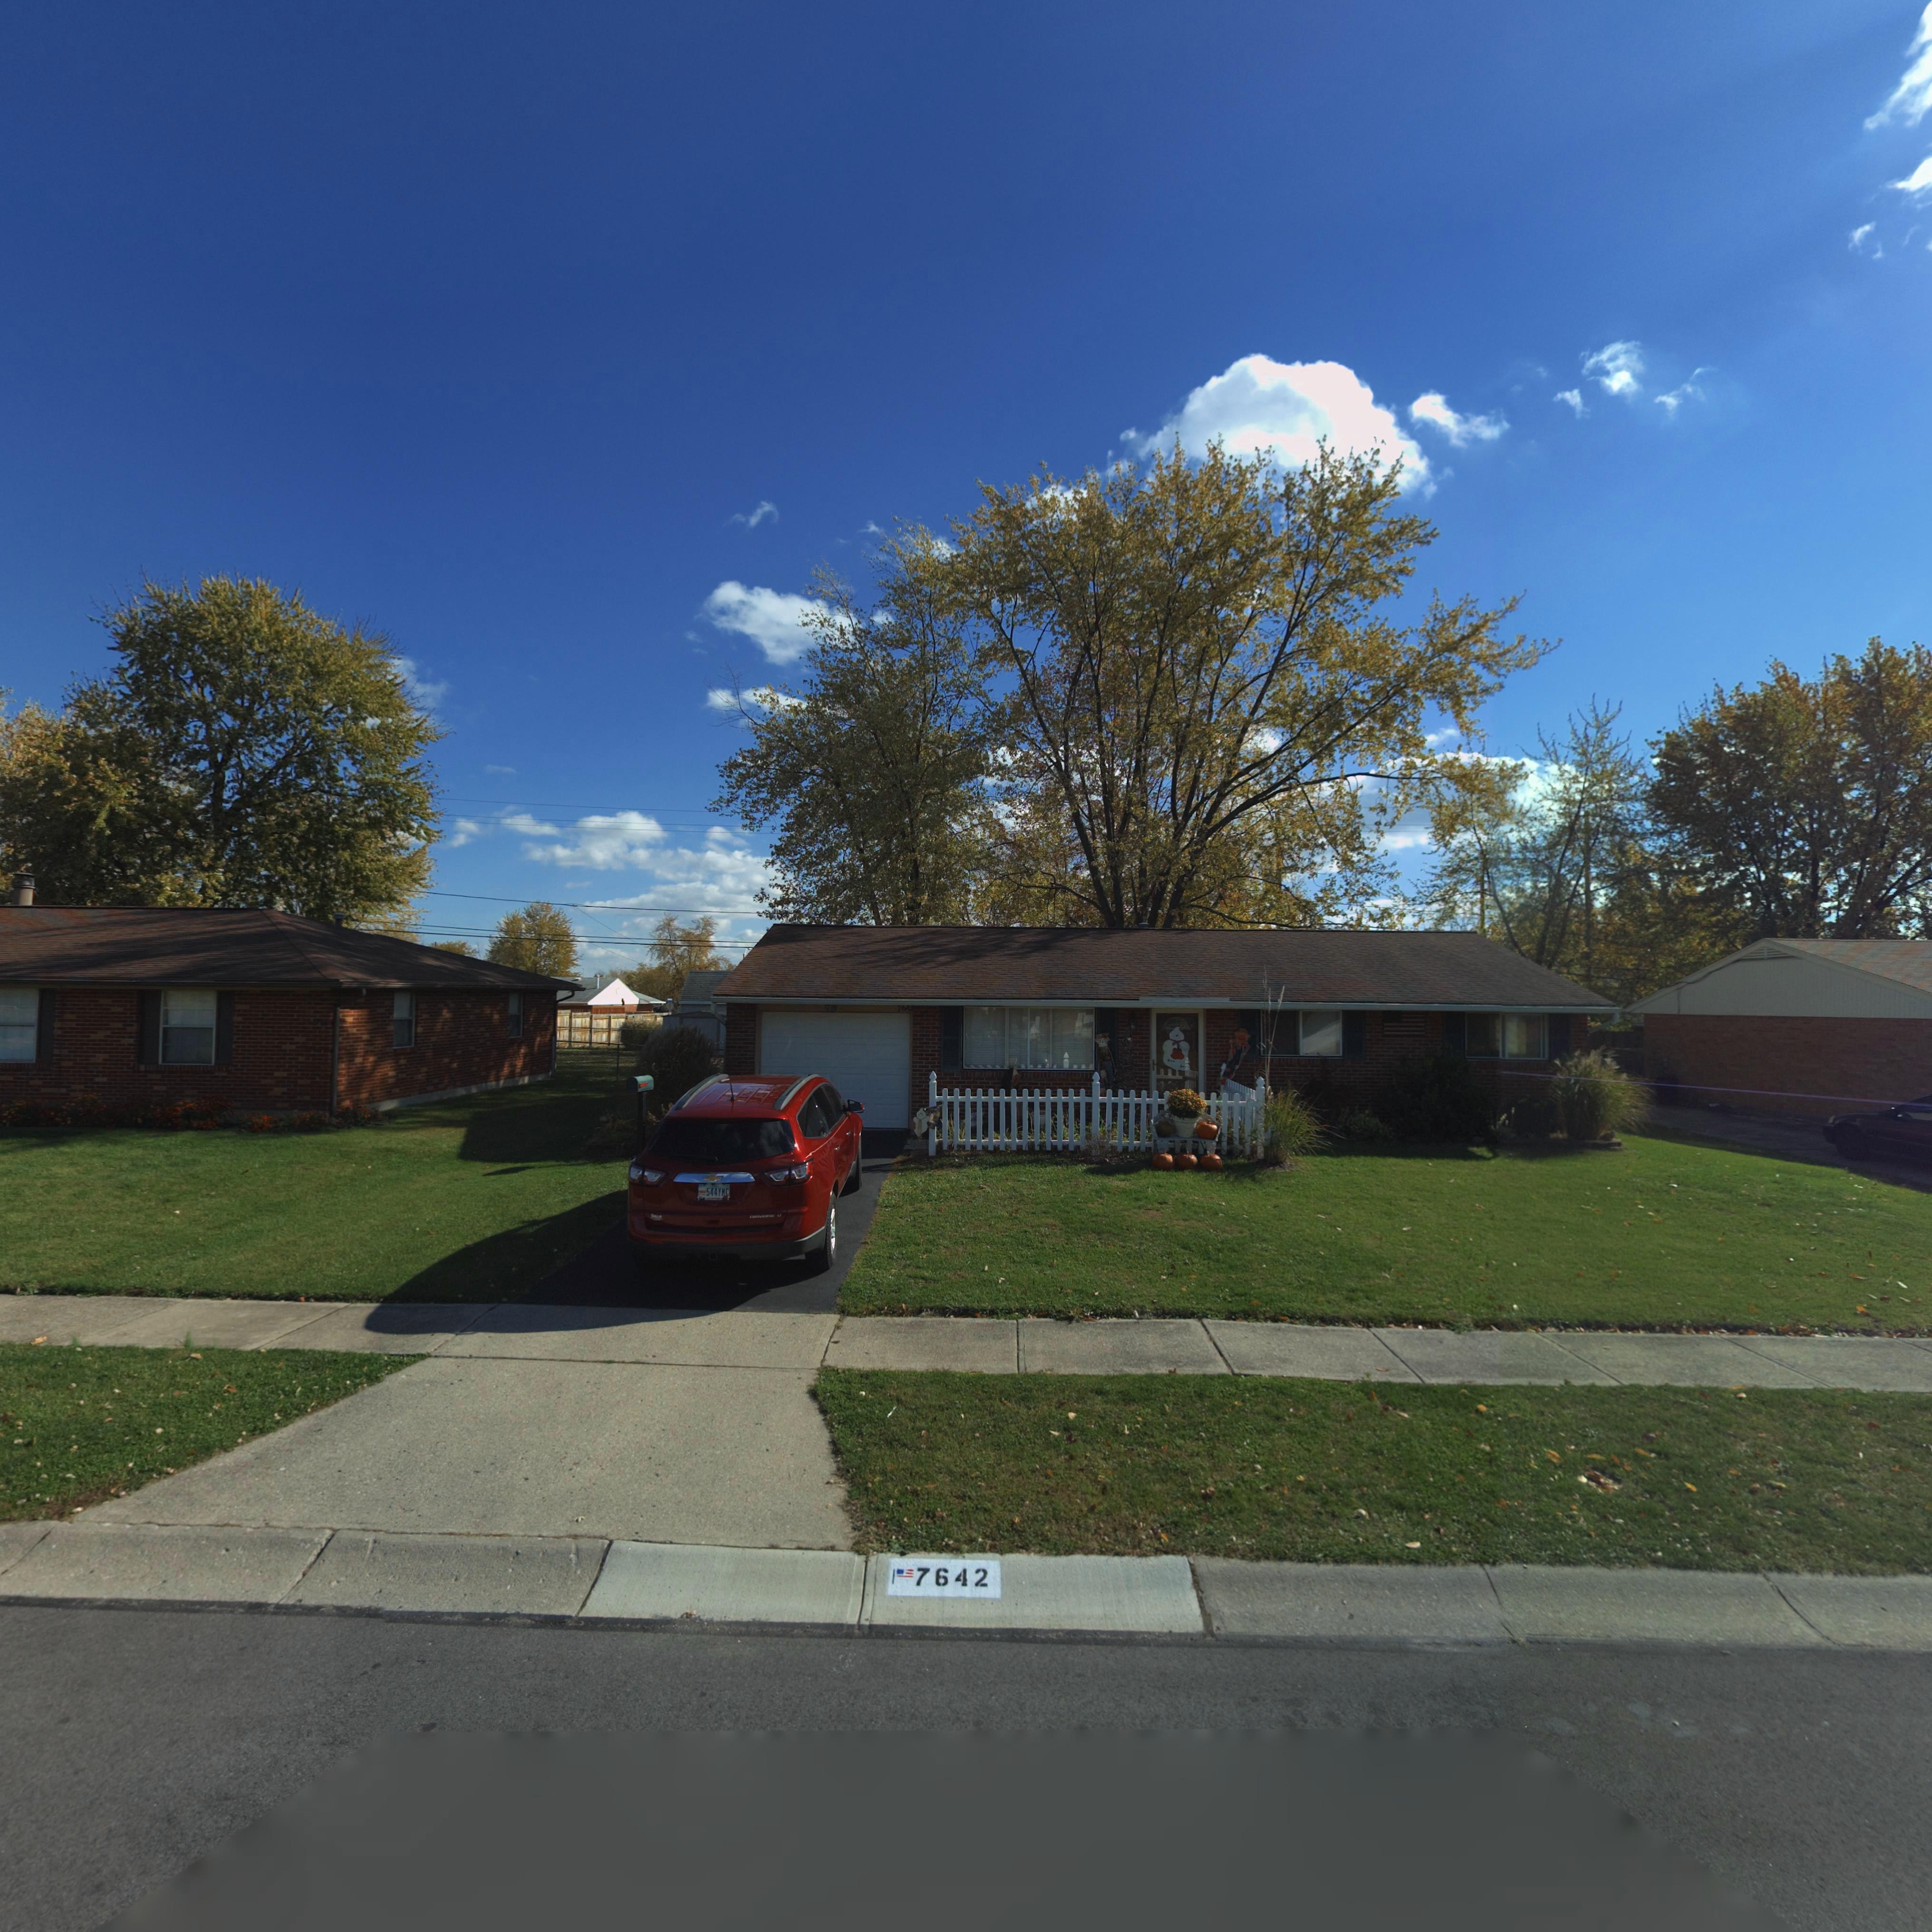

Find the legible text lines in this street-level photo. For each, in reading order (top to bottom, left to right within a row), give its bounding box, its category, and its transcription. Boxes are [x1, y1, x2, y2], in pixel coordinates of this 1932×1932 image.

[896, 1004, 908, 1014] StreetNumber: 76
[914, 1565, 991, 1589] StreetNumber: 7642